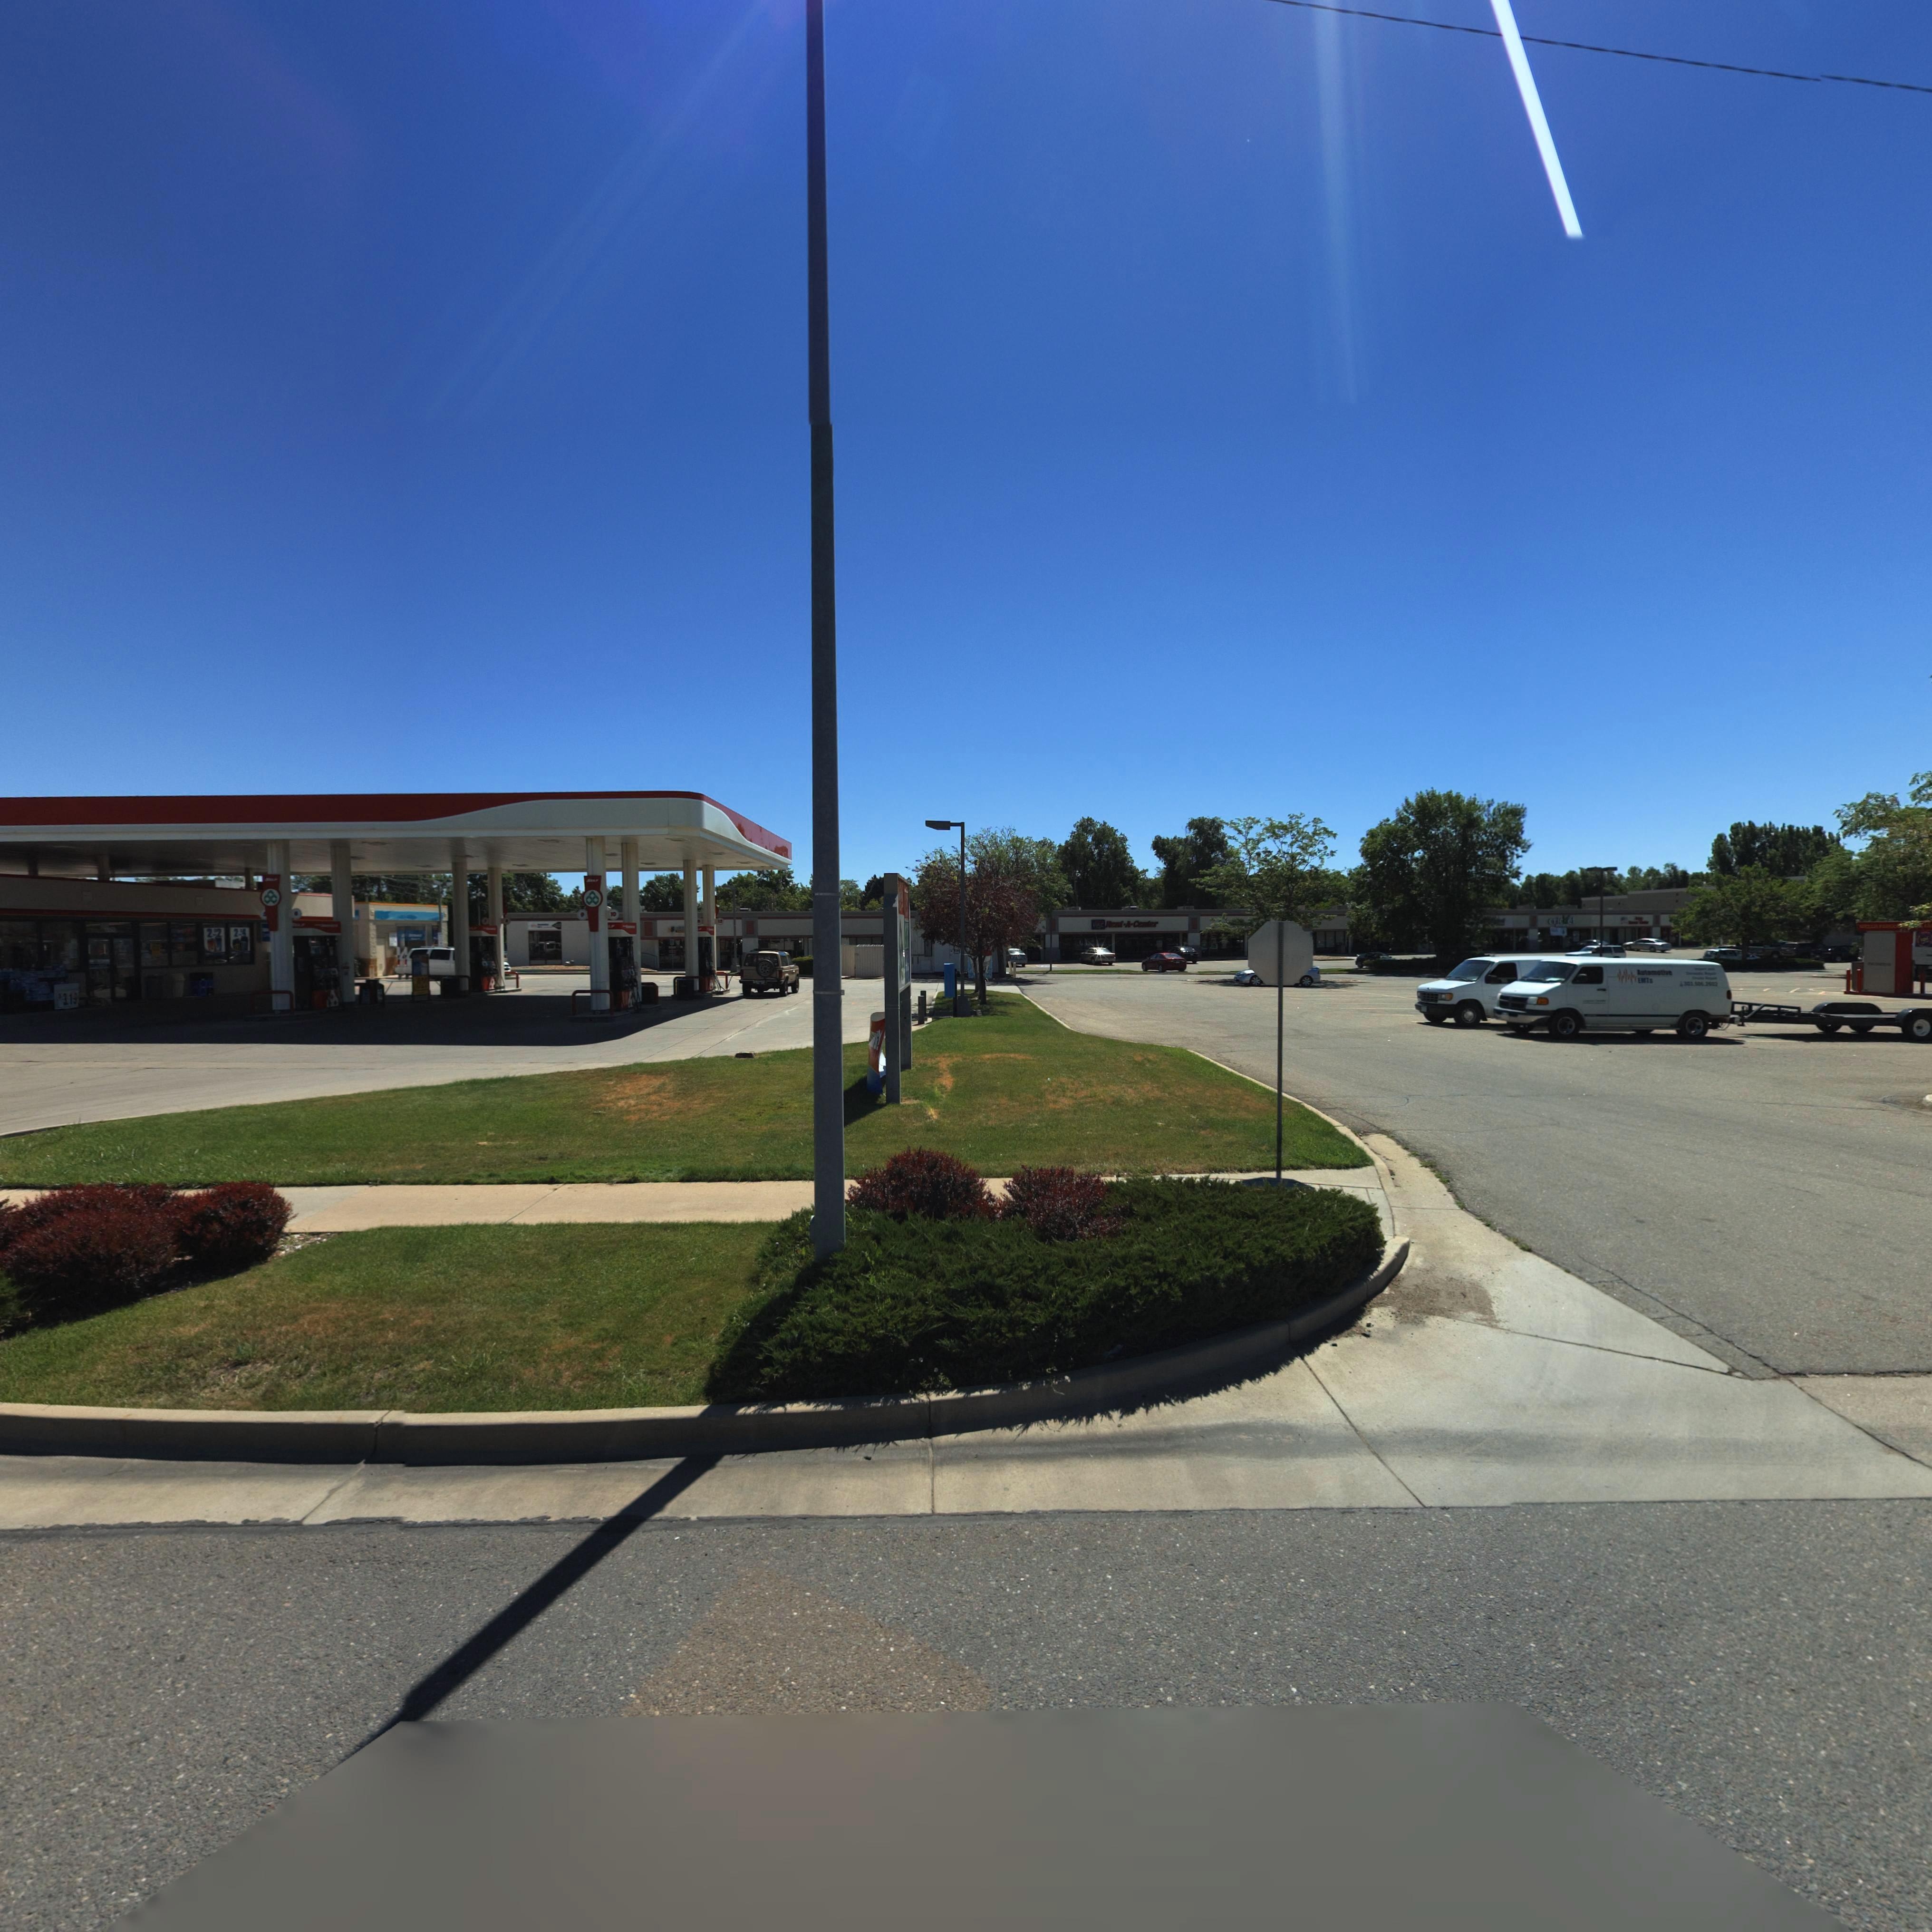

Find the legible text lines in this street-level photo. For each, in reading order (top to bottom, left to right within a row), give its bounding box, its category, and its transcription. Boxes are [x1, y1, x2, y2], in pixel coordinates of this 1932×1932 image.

[1547, 913, 1575, 924] BusinessName: cricket
[1092, 922, 1104, 927] BusinessName: RAC
[1105, 920, 1159, 927] BusinessName: Rent *A* Center